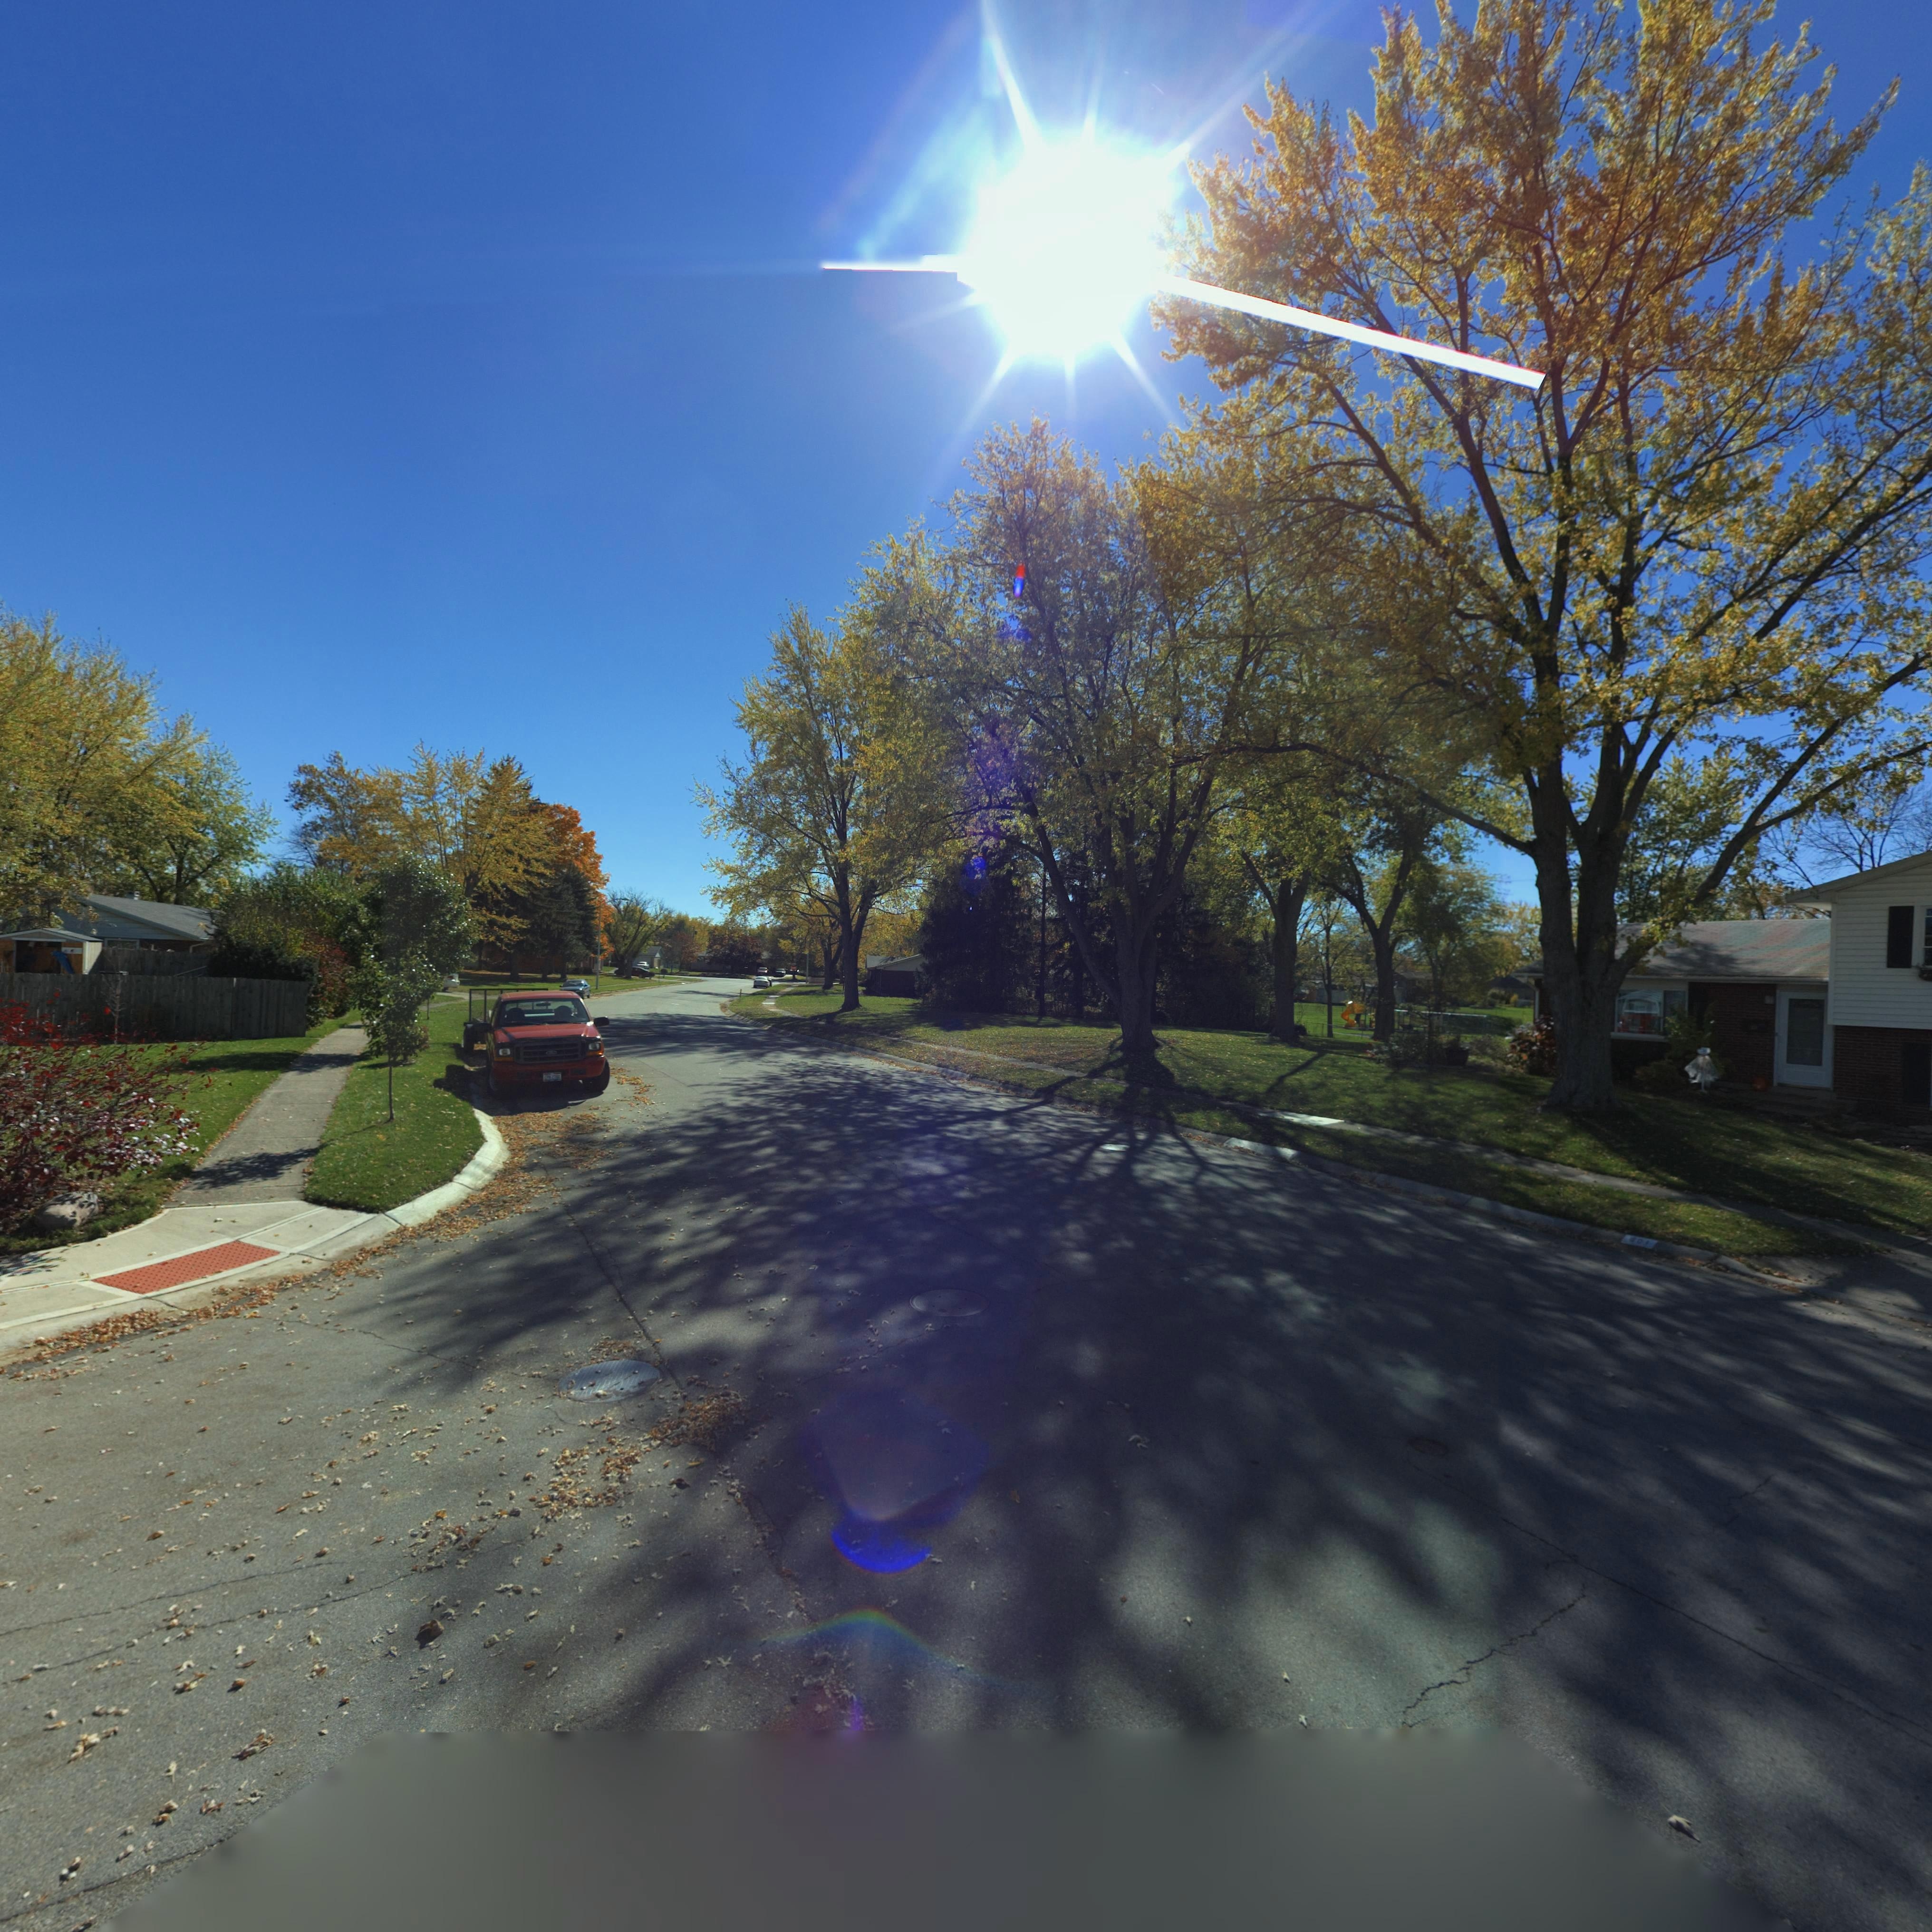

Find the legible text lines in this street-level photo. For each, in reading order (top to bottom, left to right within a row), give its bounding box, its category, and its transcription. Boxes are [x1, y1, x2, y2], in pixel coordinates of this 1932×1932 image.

[1628, 1236, 1651, 1247] StreetNumber: *0*